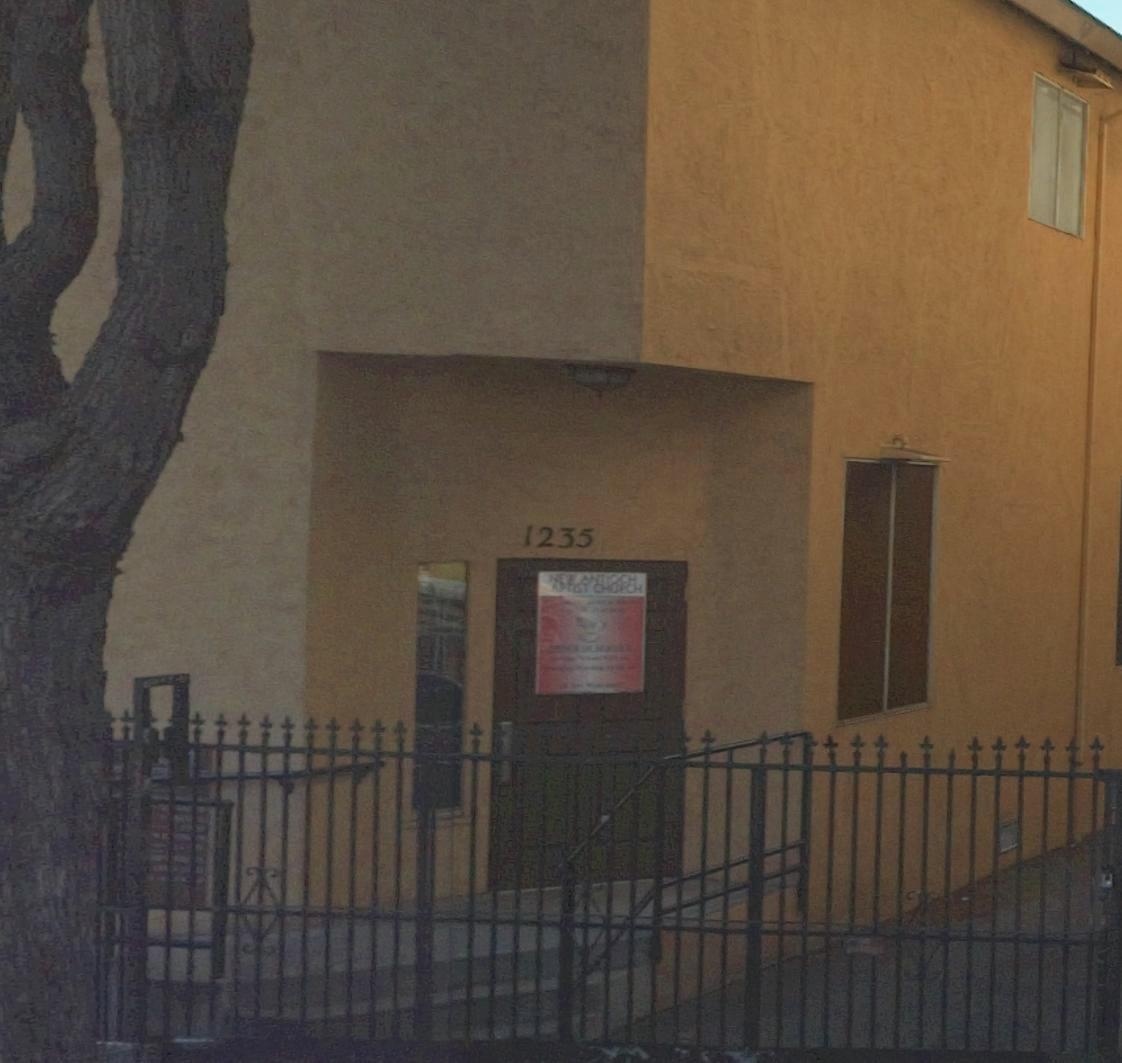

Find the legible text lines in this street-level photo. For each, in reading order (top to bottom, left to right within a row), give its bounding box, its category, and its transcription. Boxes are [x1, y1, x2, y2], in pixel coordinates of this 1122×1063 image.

[520, 522, 595, 550] StreetNumber: 1235
[547, 573, 637, 584] BusinessName: NEW ANTIOCH
[550, 583, 643, 596] BusinessName: **TIST CHURCH